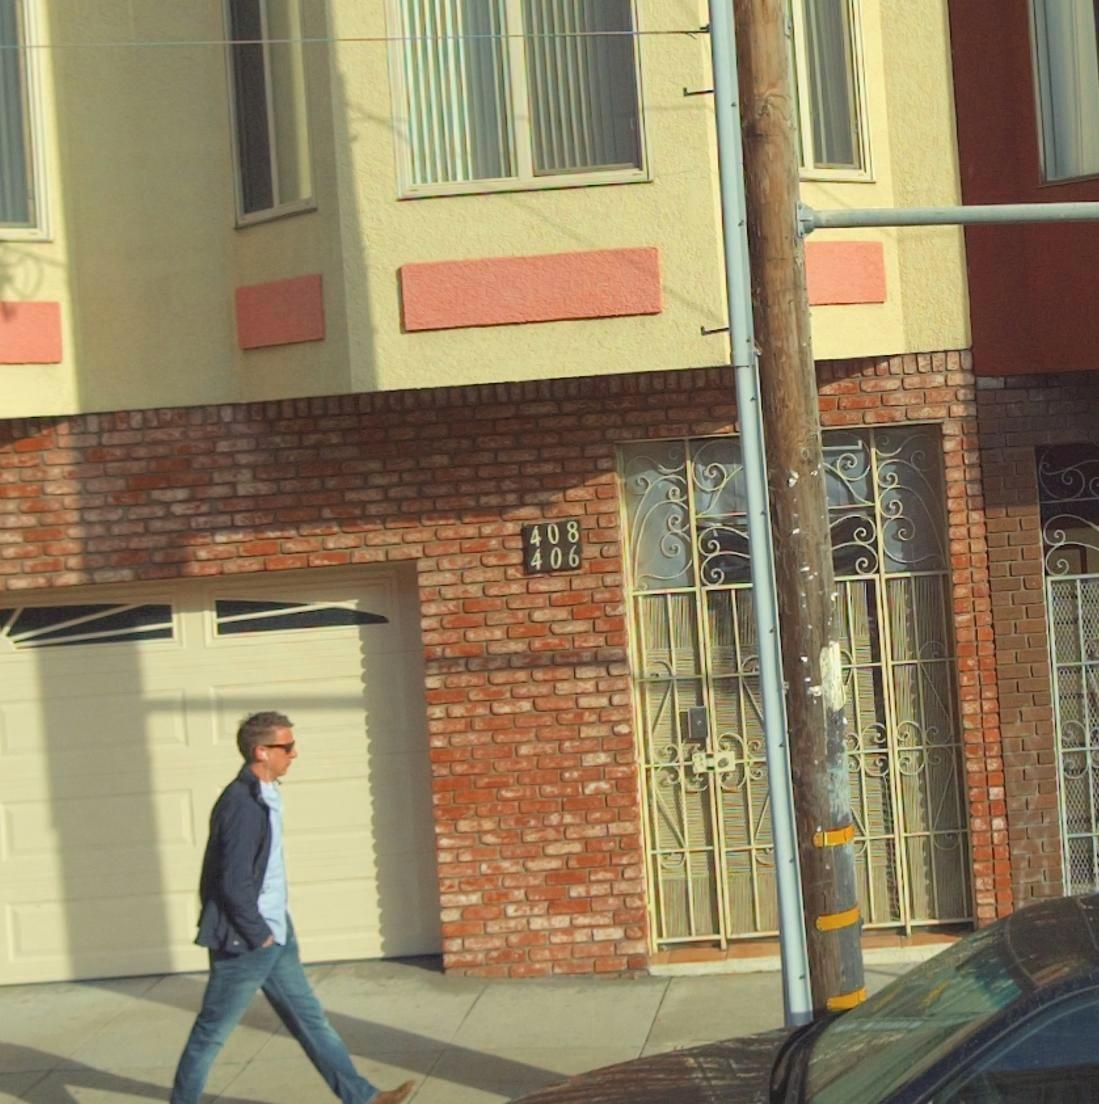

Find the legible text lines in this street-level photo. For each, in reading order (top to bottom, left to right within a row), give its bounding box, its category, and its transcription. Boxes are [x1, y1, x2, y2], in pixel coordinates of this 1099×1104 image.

[525, 518, 581, 550] StreetNumber: 408
[526, 542, 582, 572] None: 406